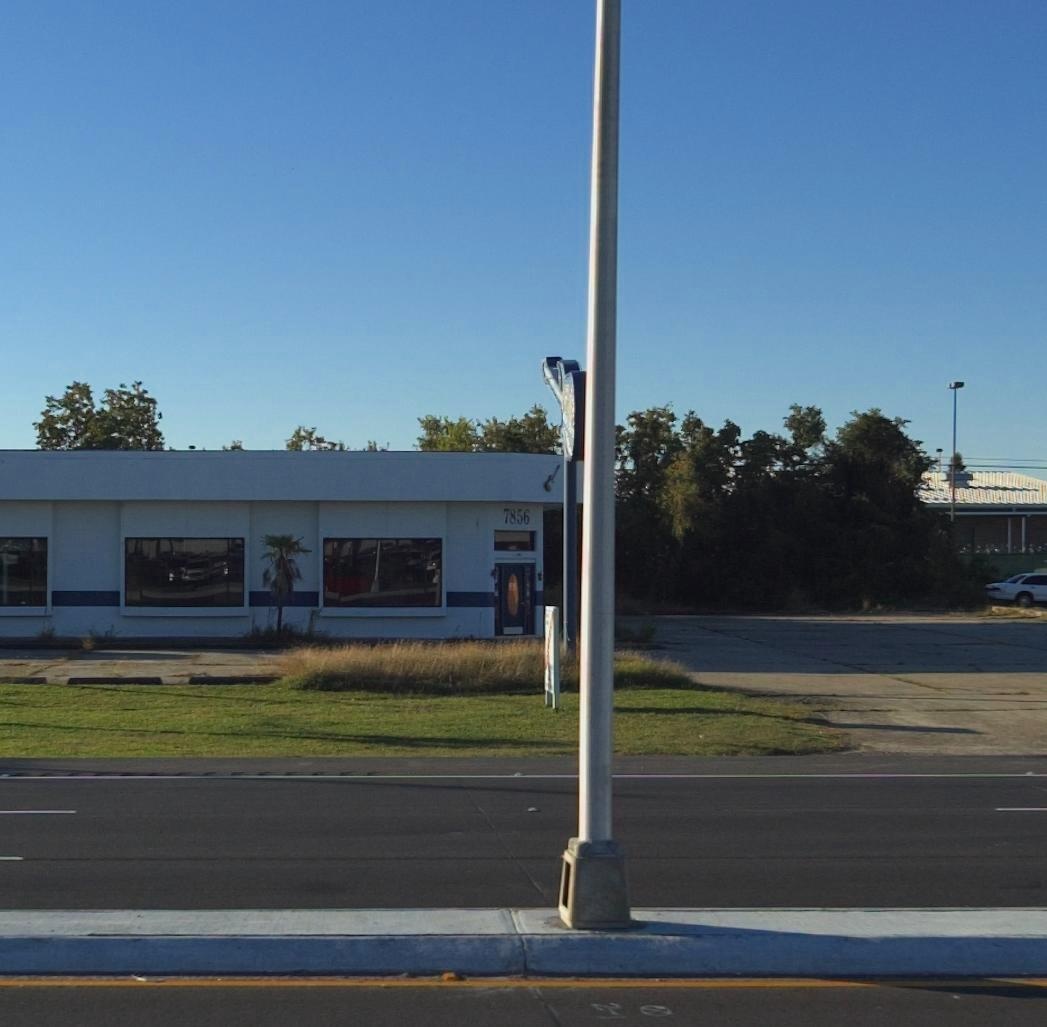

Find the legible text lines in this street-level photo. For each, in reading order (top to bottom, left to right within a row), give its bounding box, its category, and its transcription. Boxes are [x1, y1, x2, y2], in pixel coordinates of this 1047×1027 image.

[501, 506, 532, 526] StreetNumber: 7856